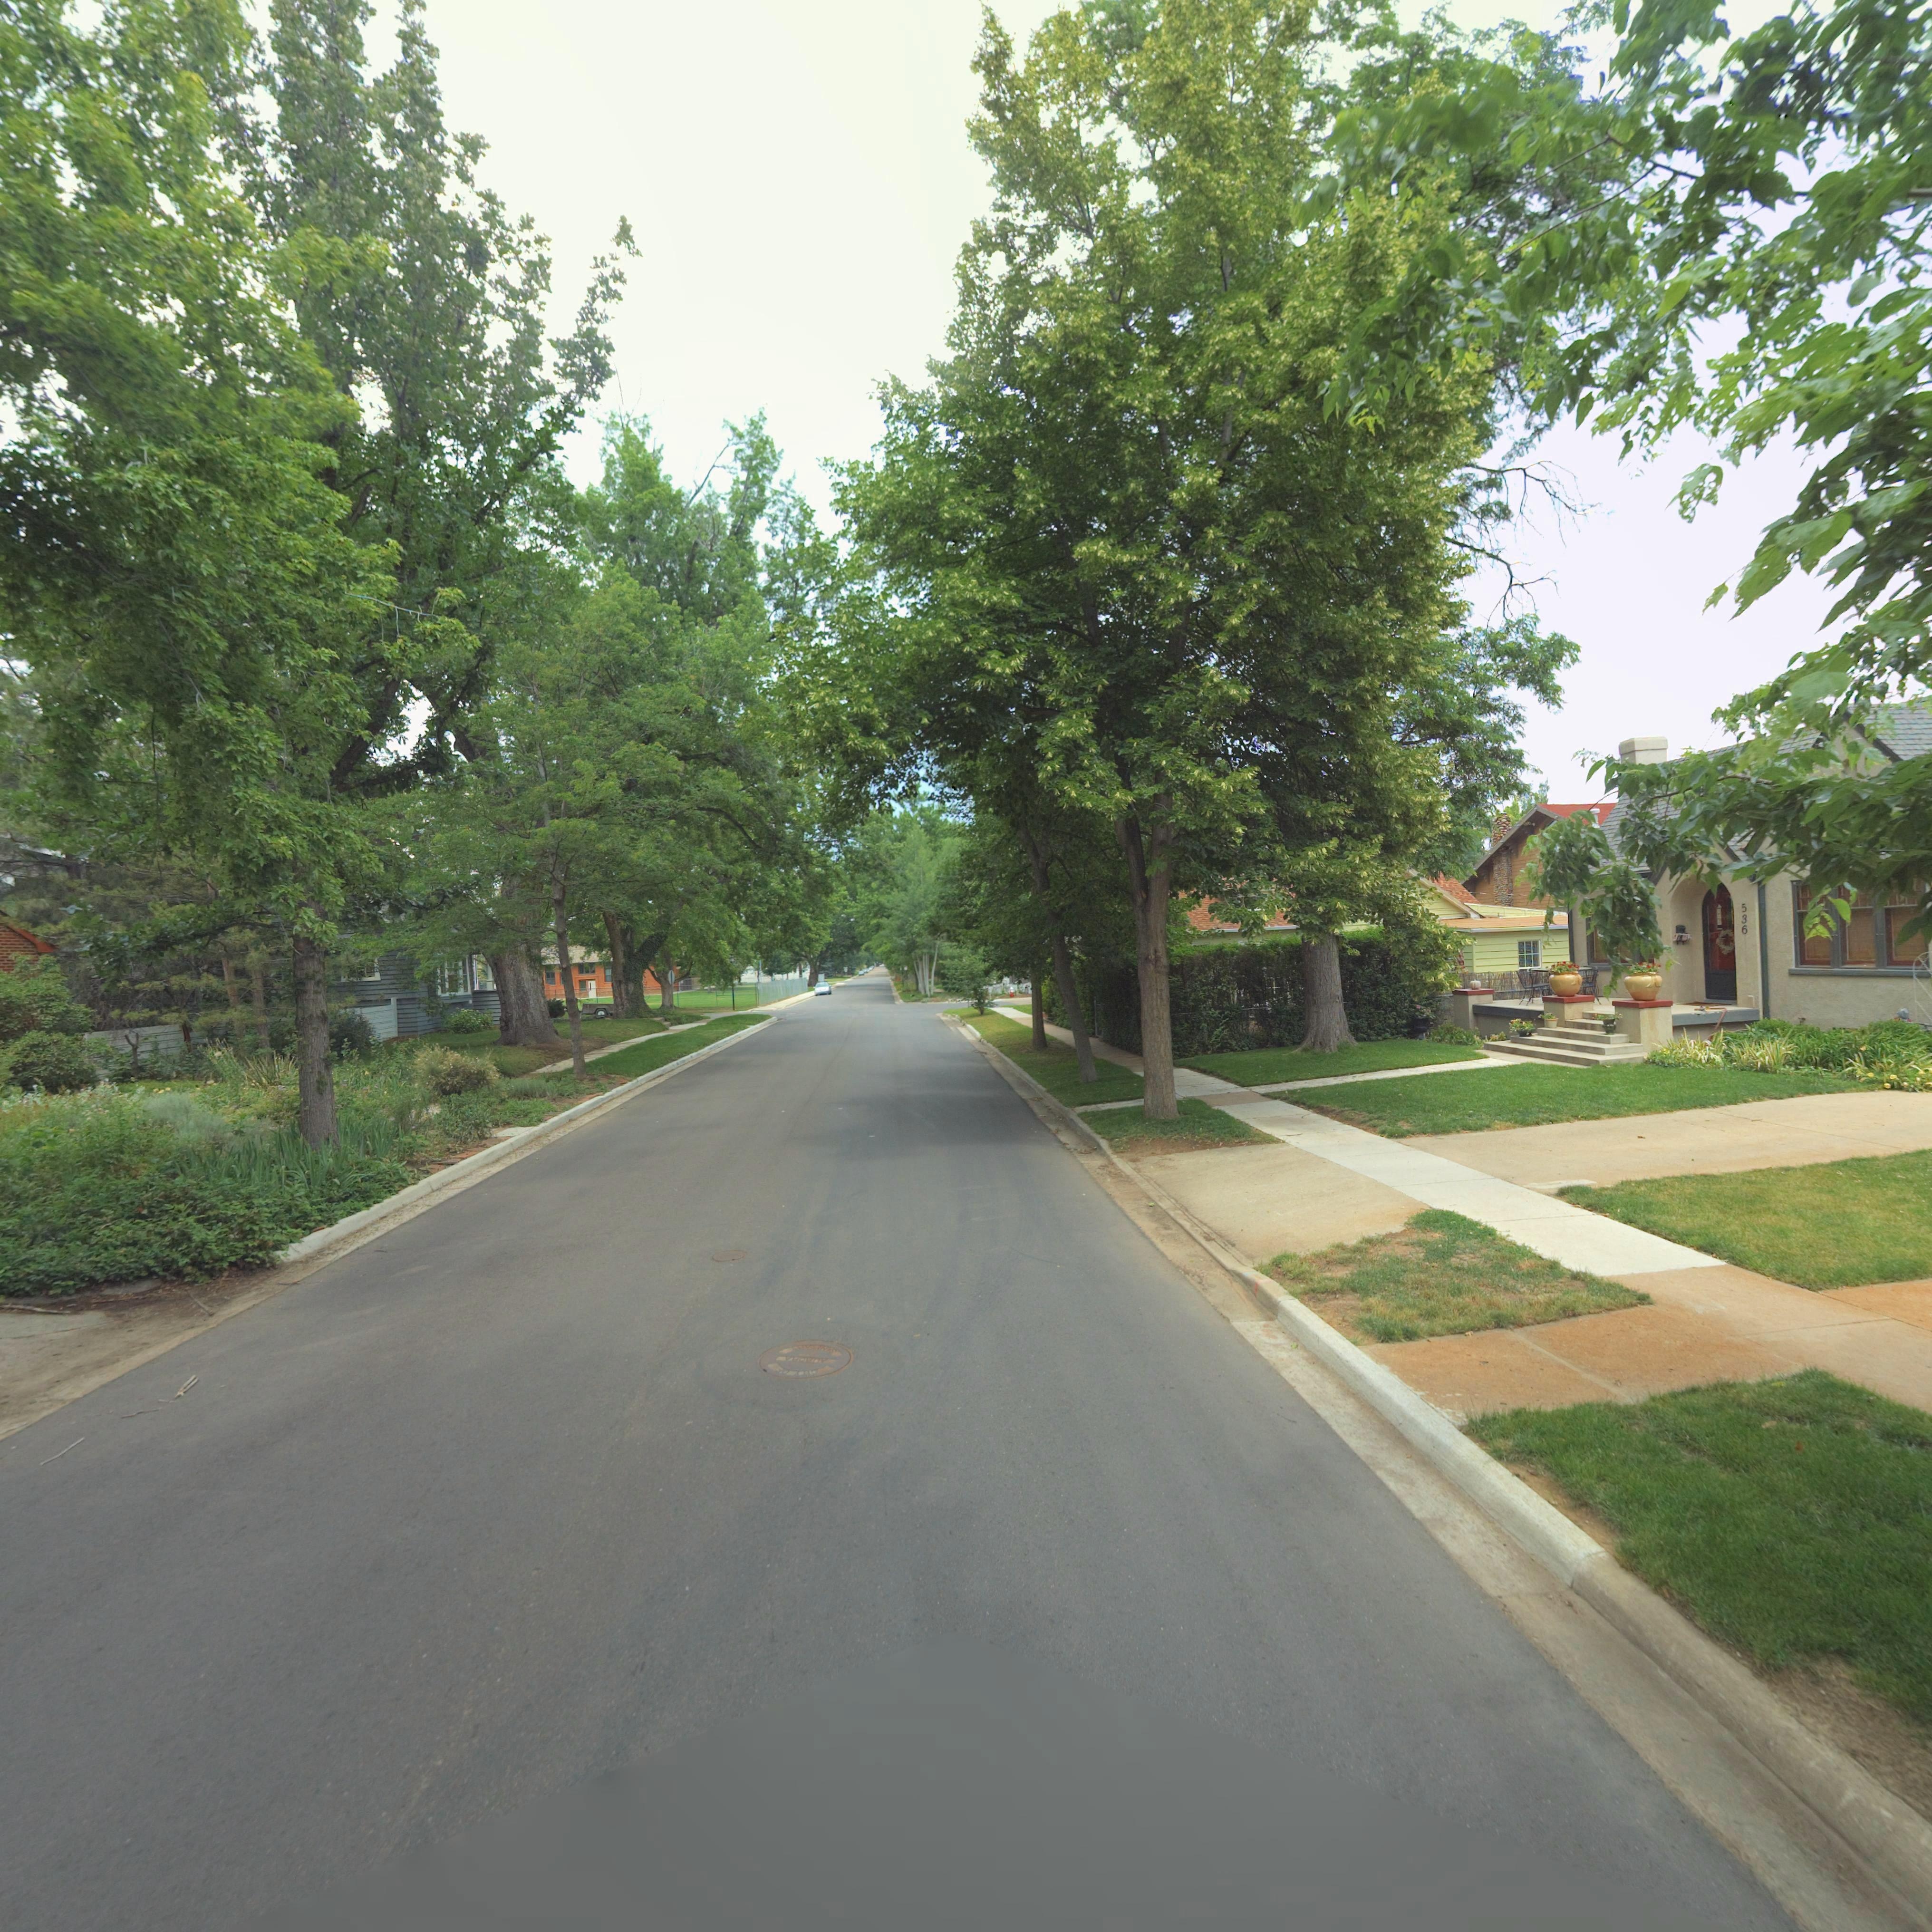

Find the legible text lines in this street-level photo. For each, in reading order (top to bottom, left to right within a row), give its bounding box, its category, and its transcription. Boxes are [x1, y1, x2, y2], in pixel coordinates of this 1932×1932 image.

[1740, 903, 1748, 935] StreetNumber: 536